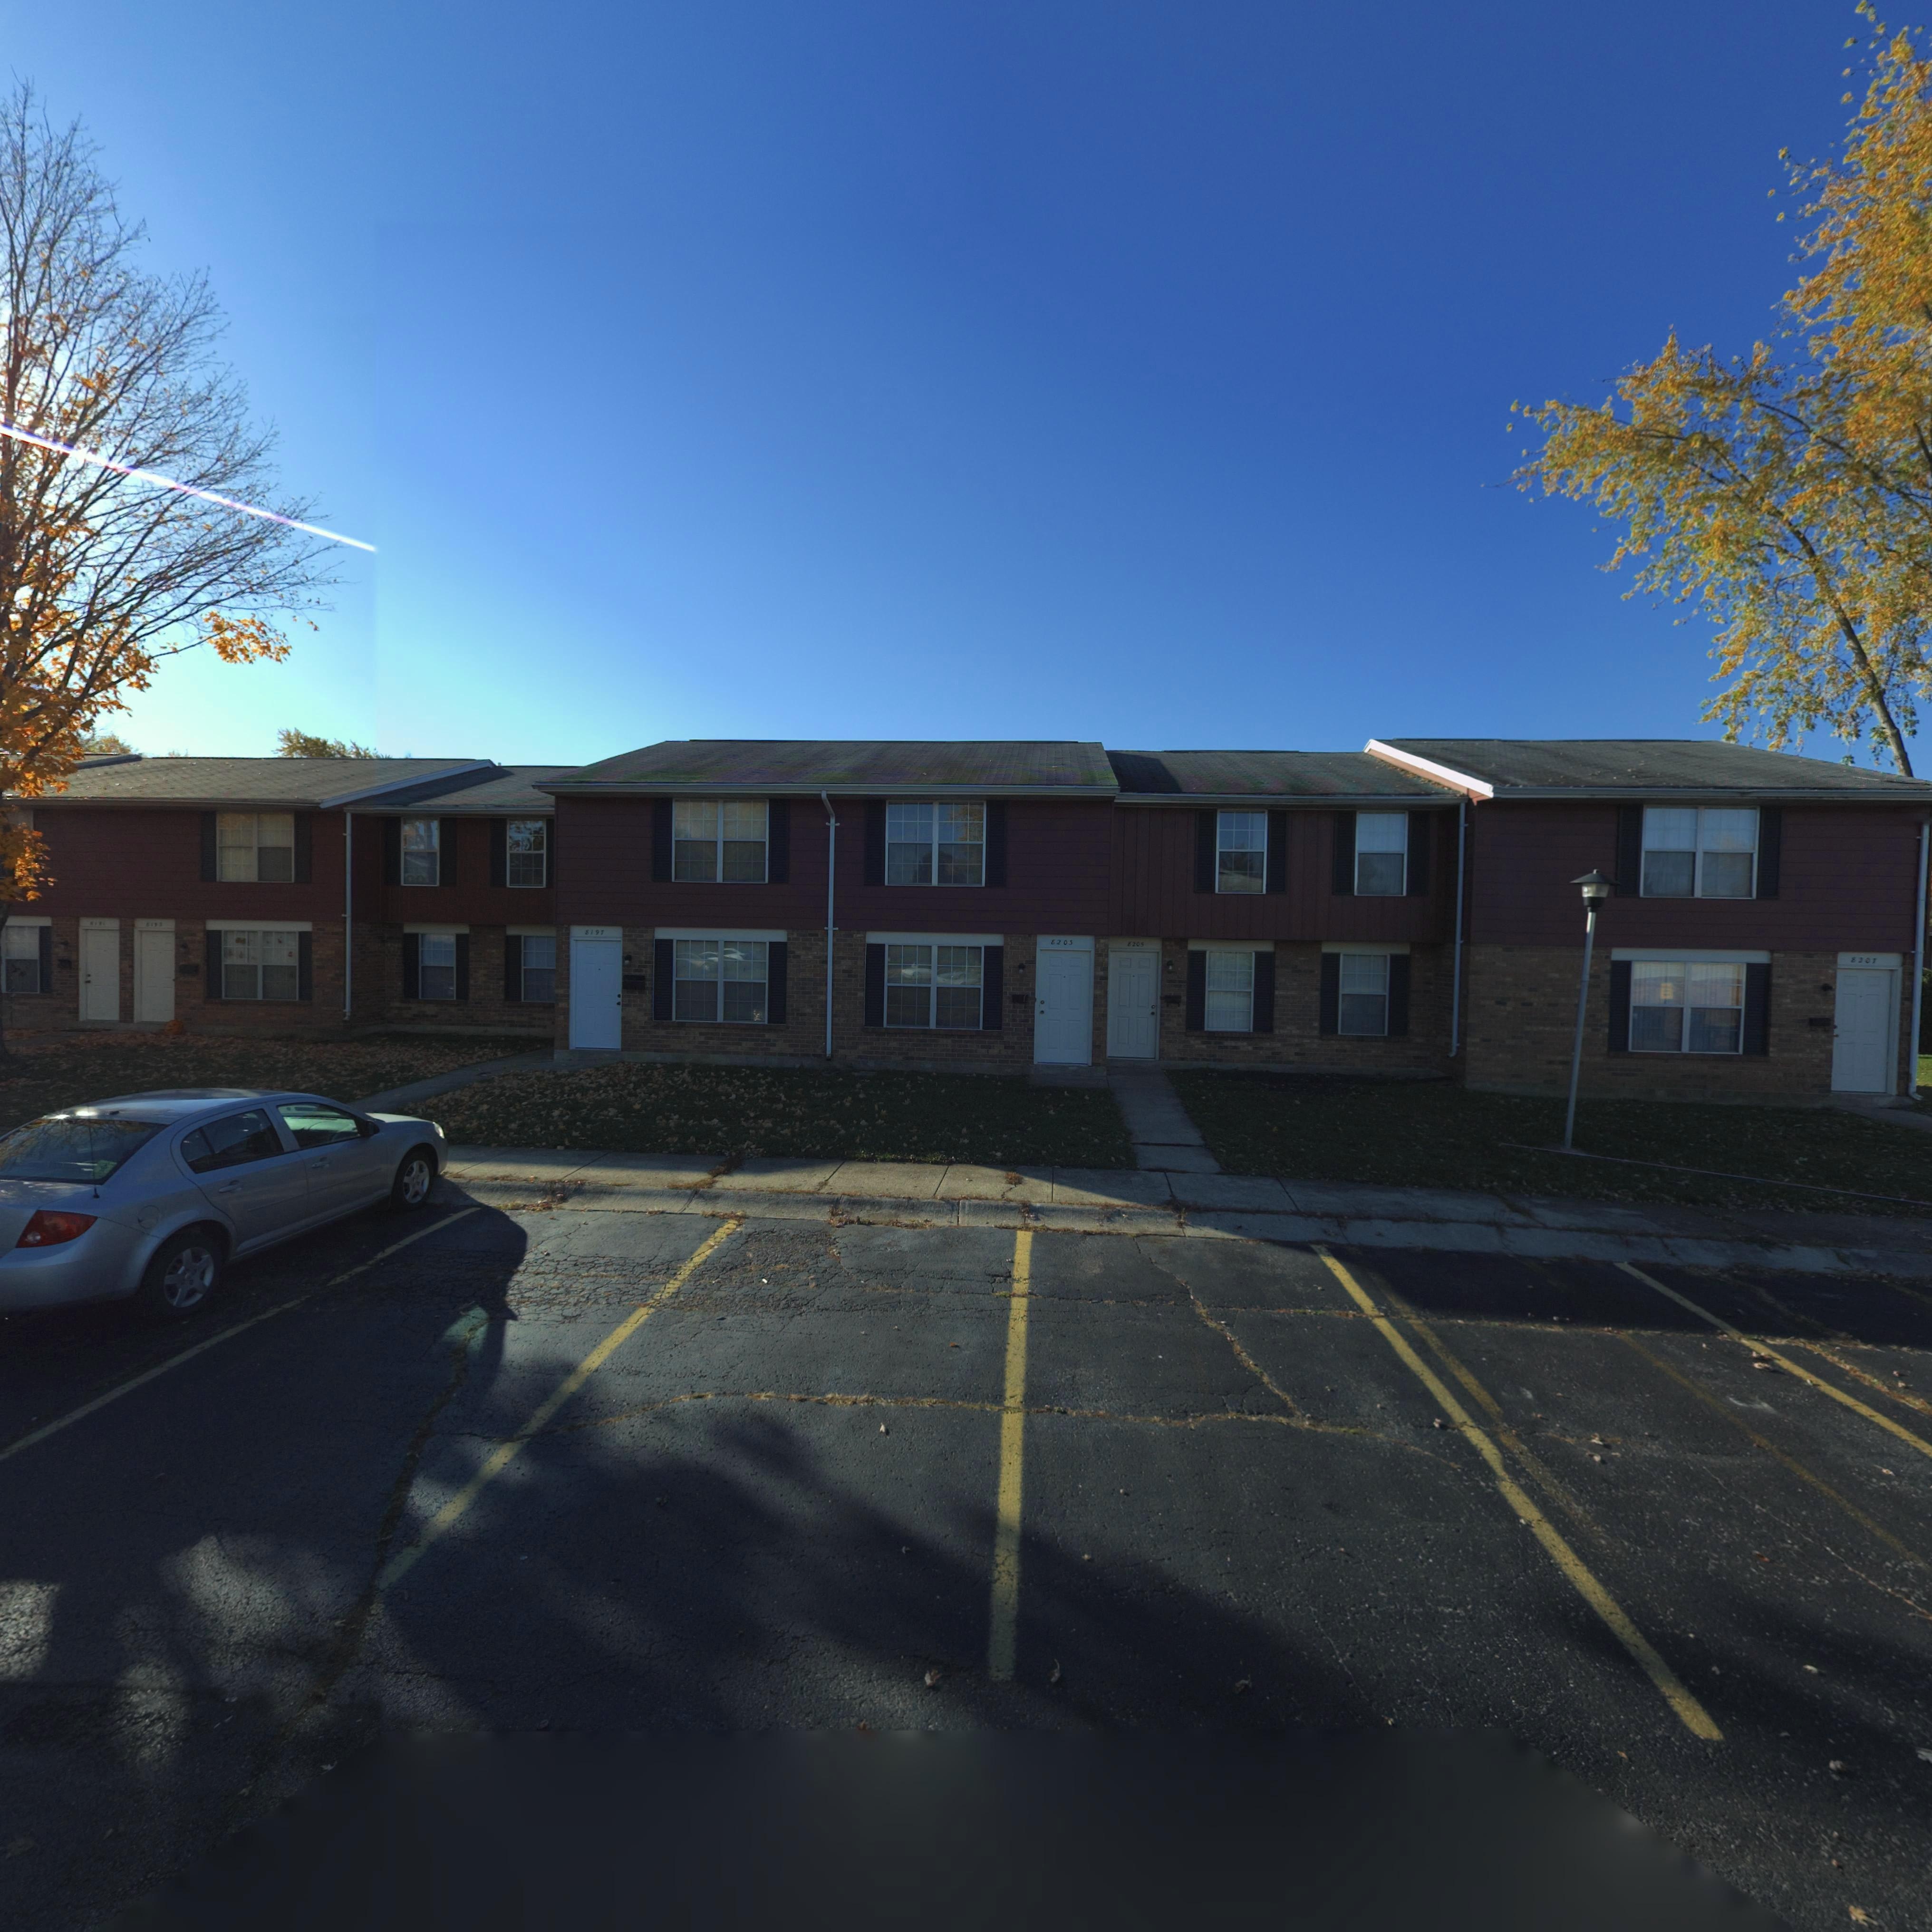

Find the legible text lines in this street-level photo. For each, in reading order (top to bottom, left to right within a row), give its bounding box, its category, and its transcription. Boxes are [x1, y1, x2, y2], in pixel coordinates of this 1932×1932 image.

[90, 920, 106, 926] StreetNumber: 8191
[145, 921, 164, 927] StreetNumber: 8193
[585, 929, 604, 936] StreetNumber: 8197
[1050, 939, 1073, 945] StreetNumber: 8203
[1127, 941, 1144, 947] StreetNumber: 8205
[1850, 956, 1877, 964] StreetNumber: 8207